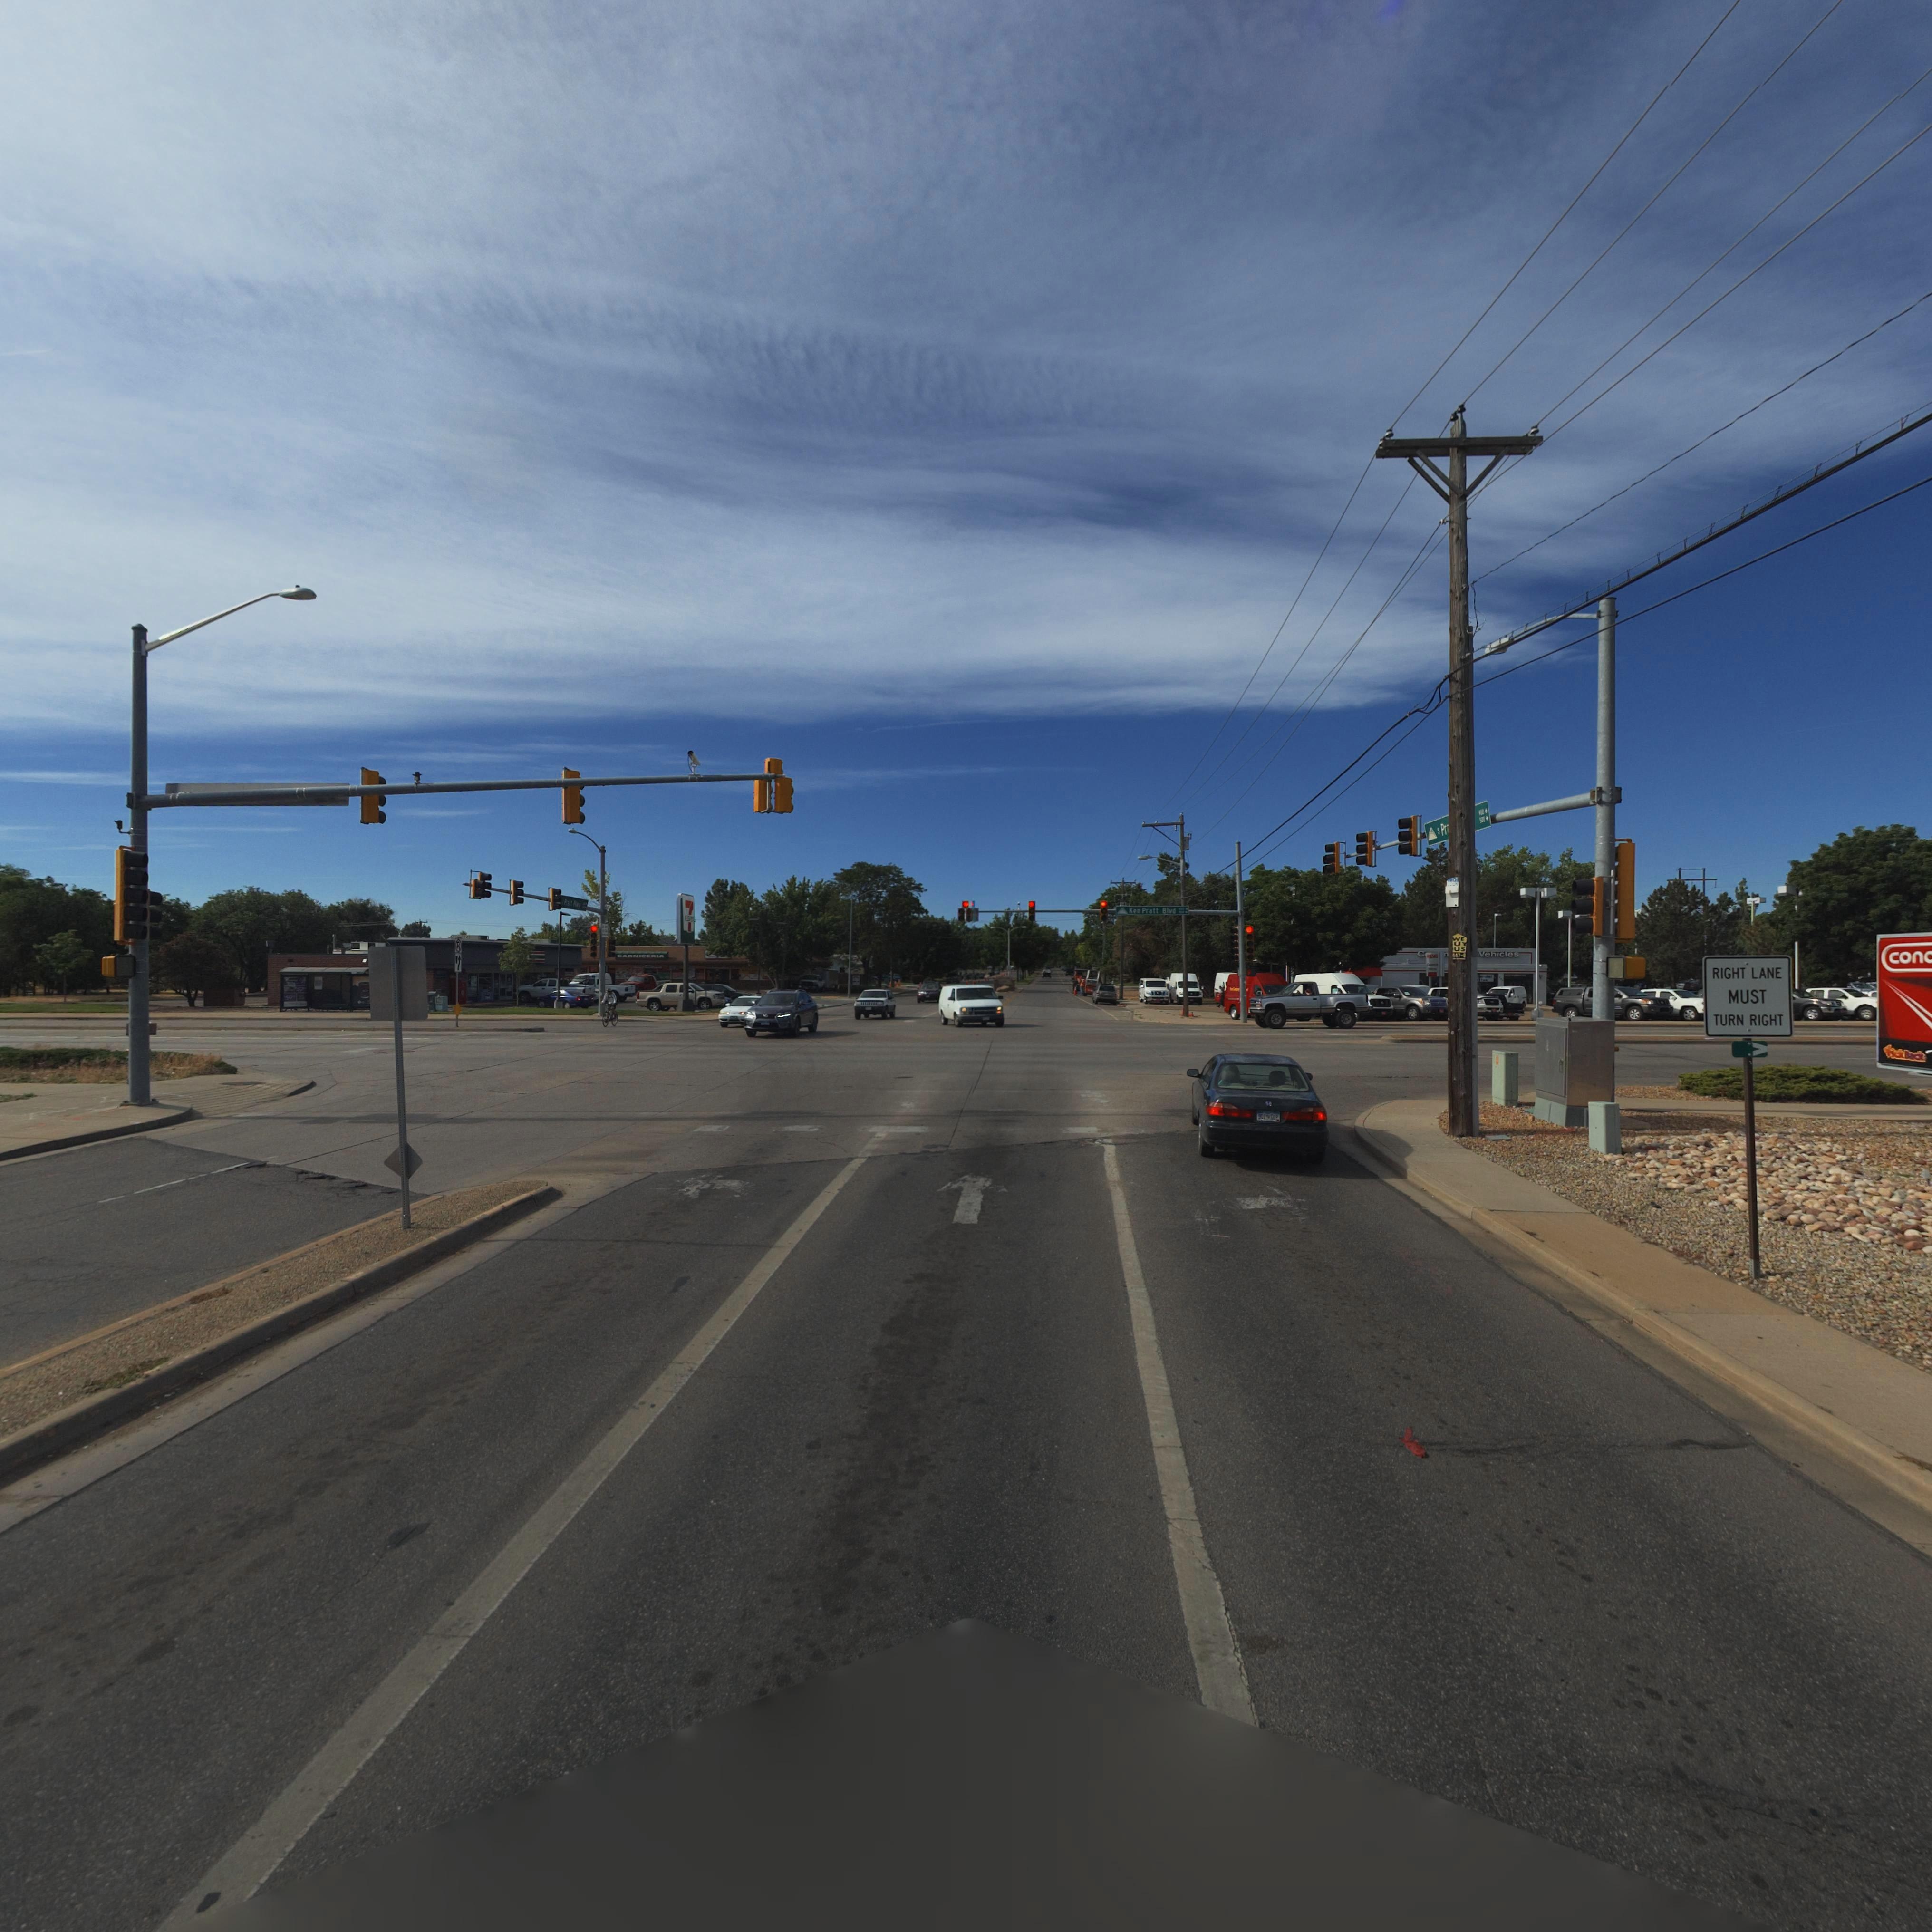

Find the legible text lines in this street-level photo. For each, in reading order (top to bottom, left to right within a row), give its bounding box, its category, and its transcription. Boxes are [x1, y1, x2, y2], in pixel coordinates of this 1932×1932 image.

[1478, 808, 1484, 816] StreetNumberRange: 900
[1478, 815, 1489, 824] StreetNumberRange: 500->
[1436, 823, 1447, 837] StreetName: S Pr
[563, 898, 581, 908] StreetName: P*att P***
[685, 899, 694, 932] BusinessName: 7
[685, 915, 694, 923] BusinessName: ELEVEN
[1128, 907, 1176, 914] StreetName: Ken Pratt Blvd
[1179, 907, 1184, 910] StreetNumberRange: *00
[1179, 910, 1188, 914] StreetNumberRange: *00->
[1416, 950, 1424, 957] BusinessName: C